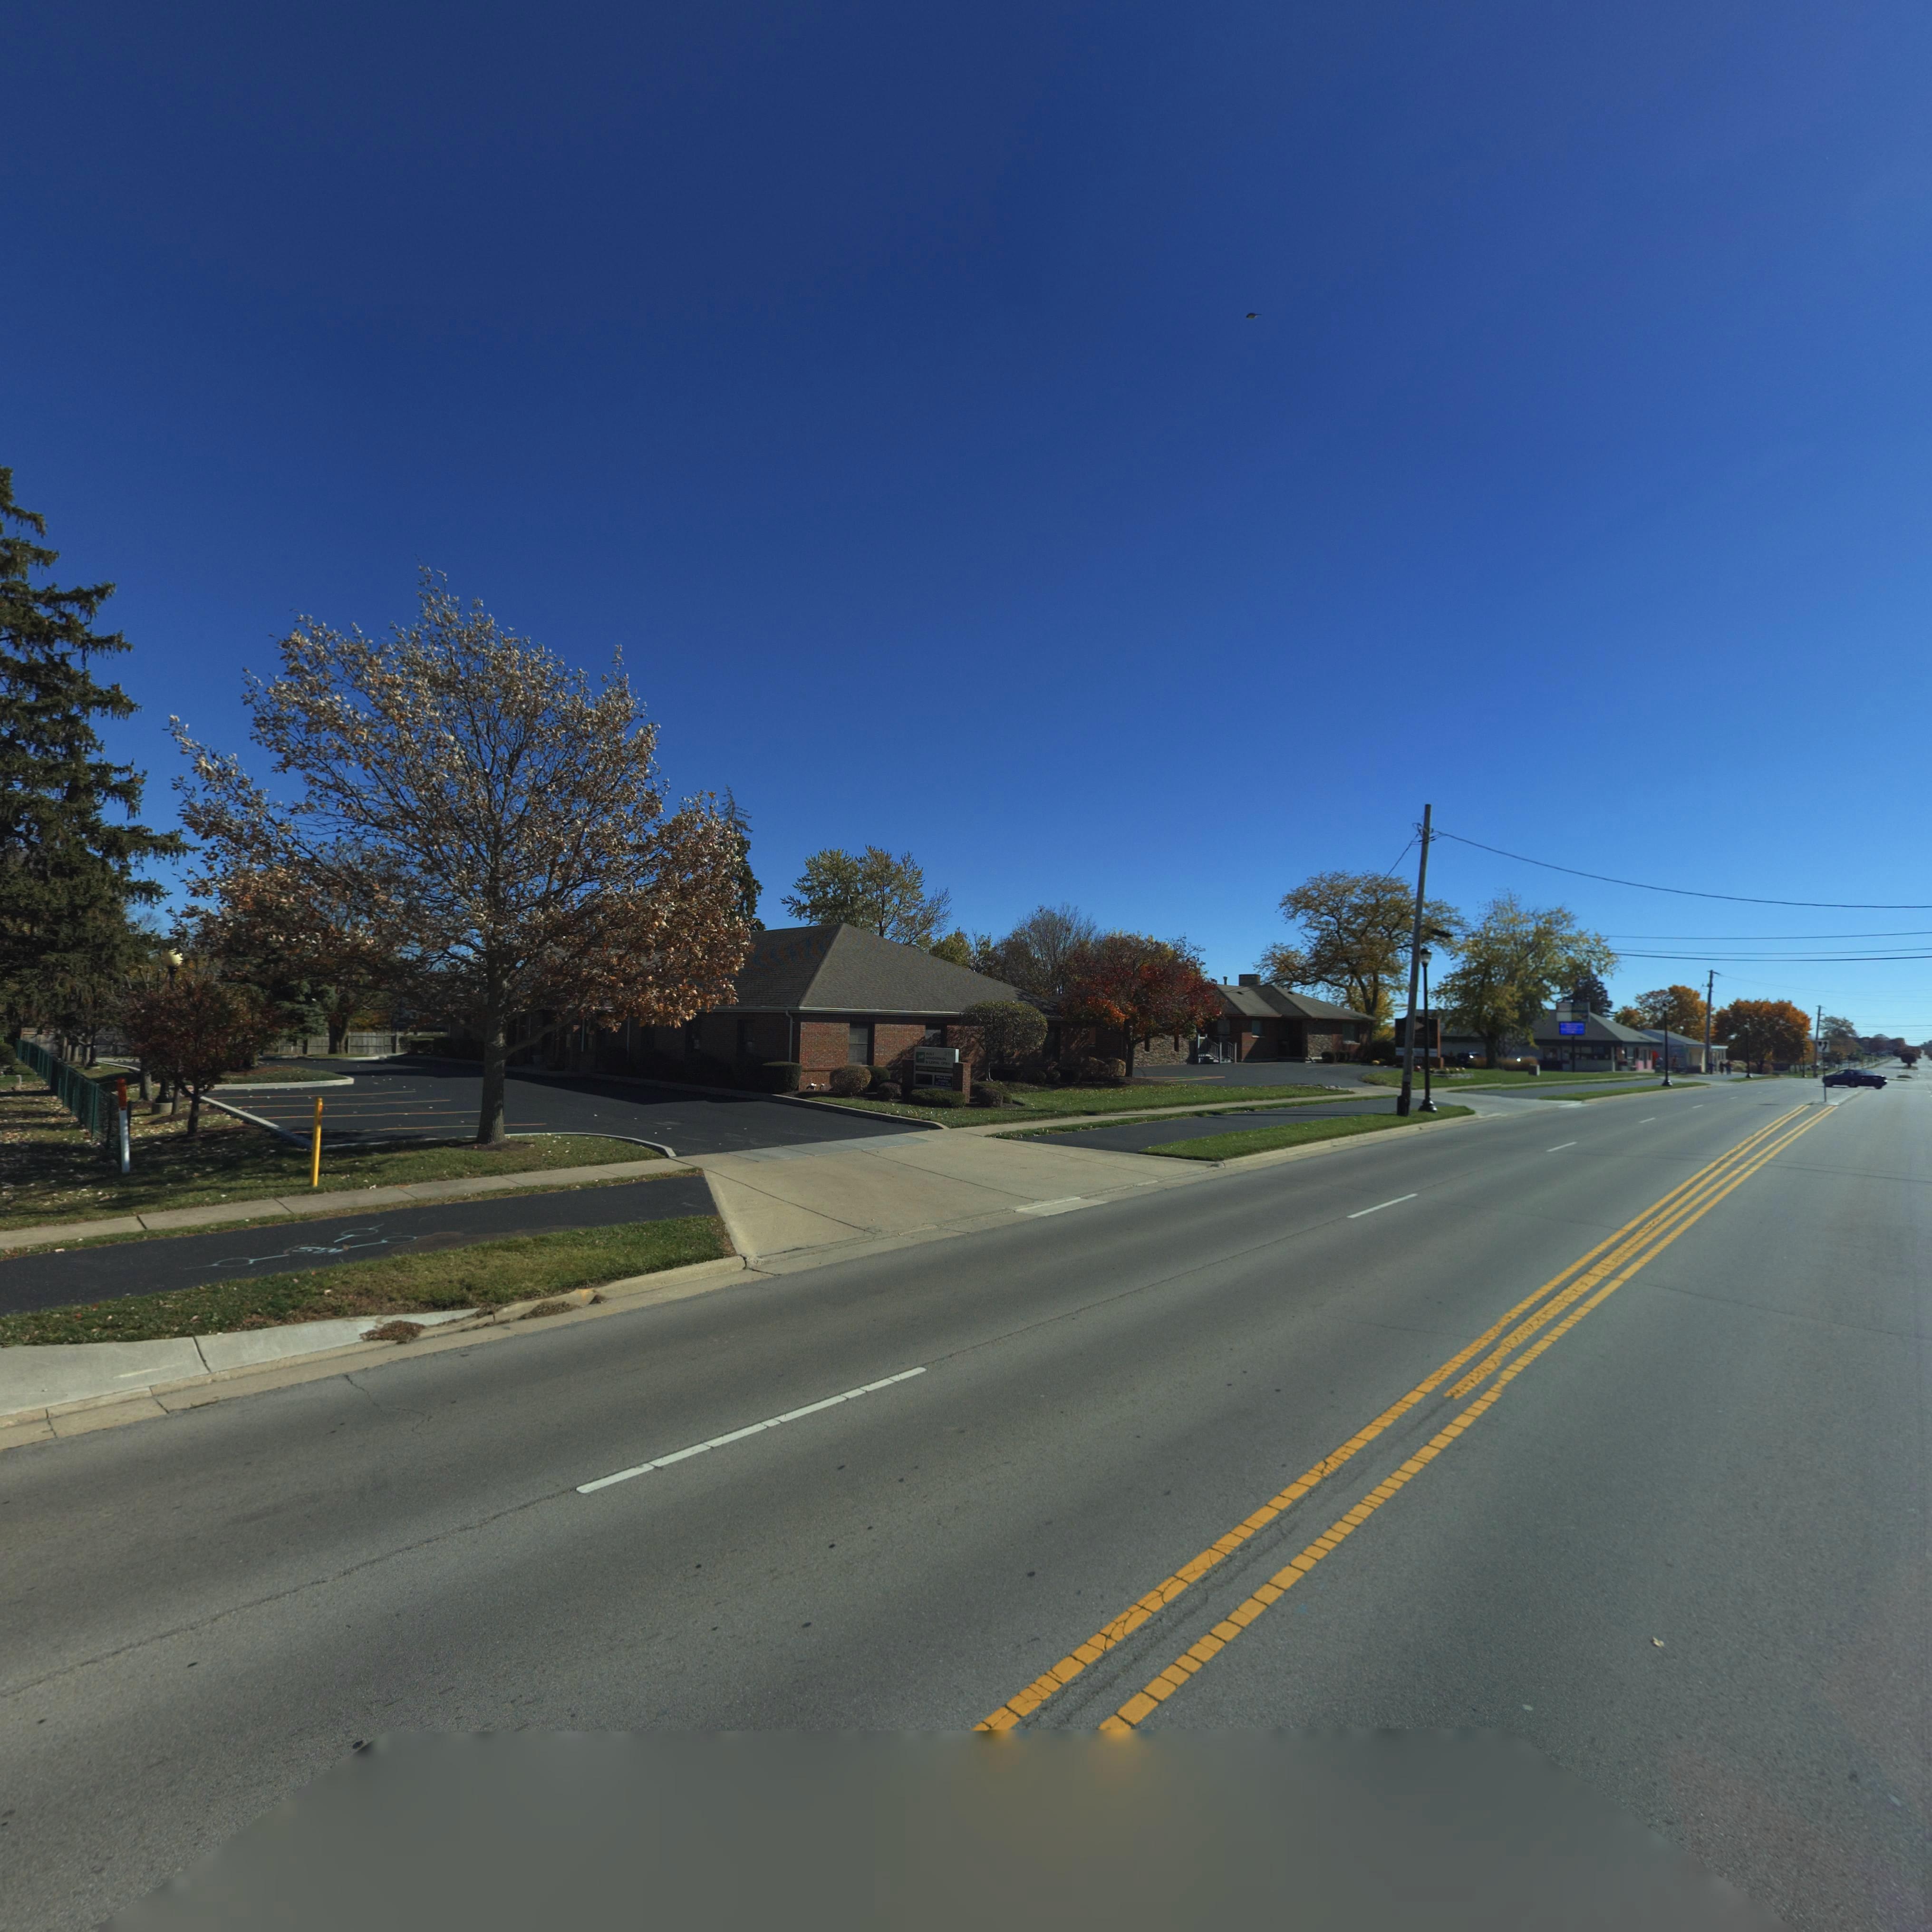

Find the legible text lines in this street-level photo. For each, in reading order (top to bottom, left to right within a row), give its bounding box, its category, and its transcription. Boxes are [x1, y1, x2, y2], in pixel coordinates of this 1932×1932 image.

[943, 1050, 955, 1058] StreetNumber: 310
[940, 1057, 947, 1062] BusinessName: ON
[928, 1060, 932, 1064] BusinessName: L
[940, 1061, 948, 1066] BusinessName: CPA